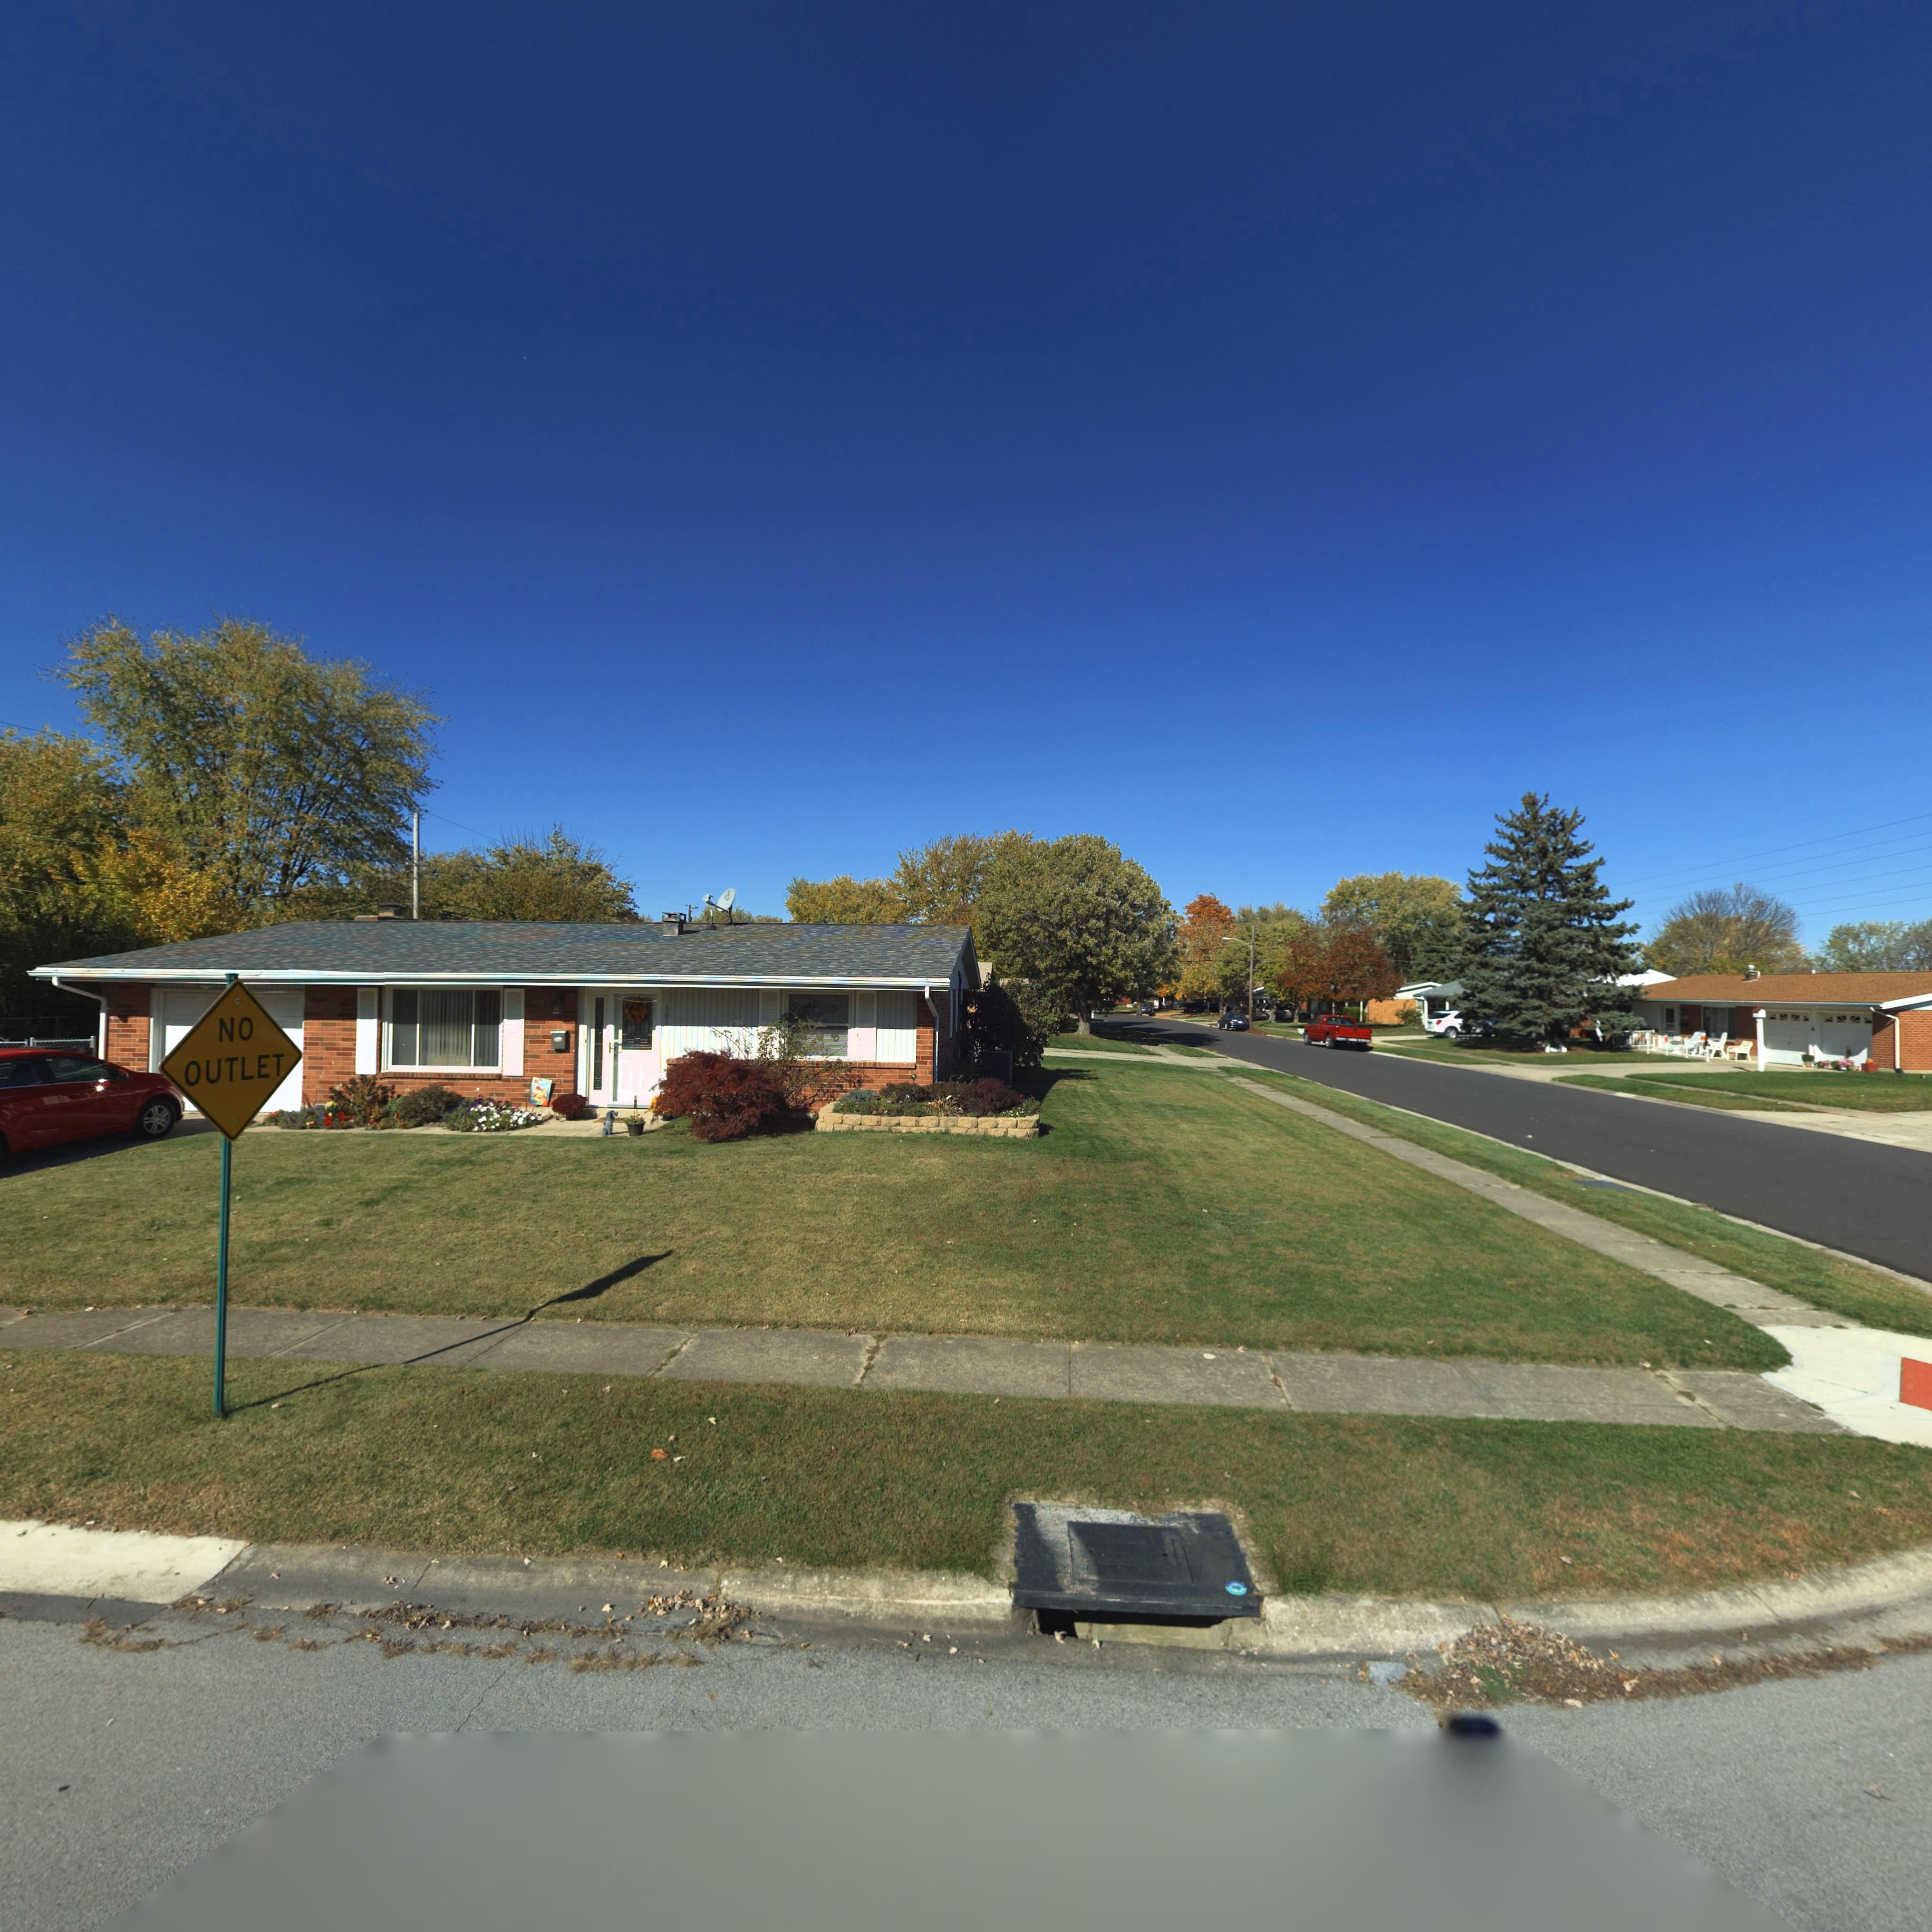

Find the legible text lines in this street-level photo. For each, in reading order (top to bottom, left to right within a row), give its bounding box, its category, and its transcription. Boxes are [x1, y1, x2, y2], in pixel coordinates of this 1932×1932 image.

[665, 1005, 669, 1024] StreetNumber: 501